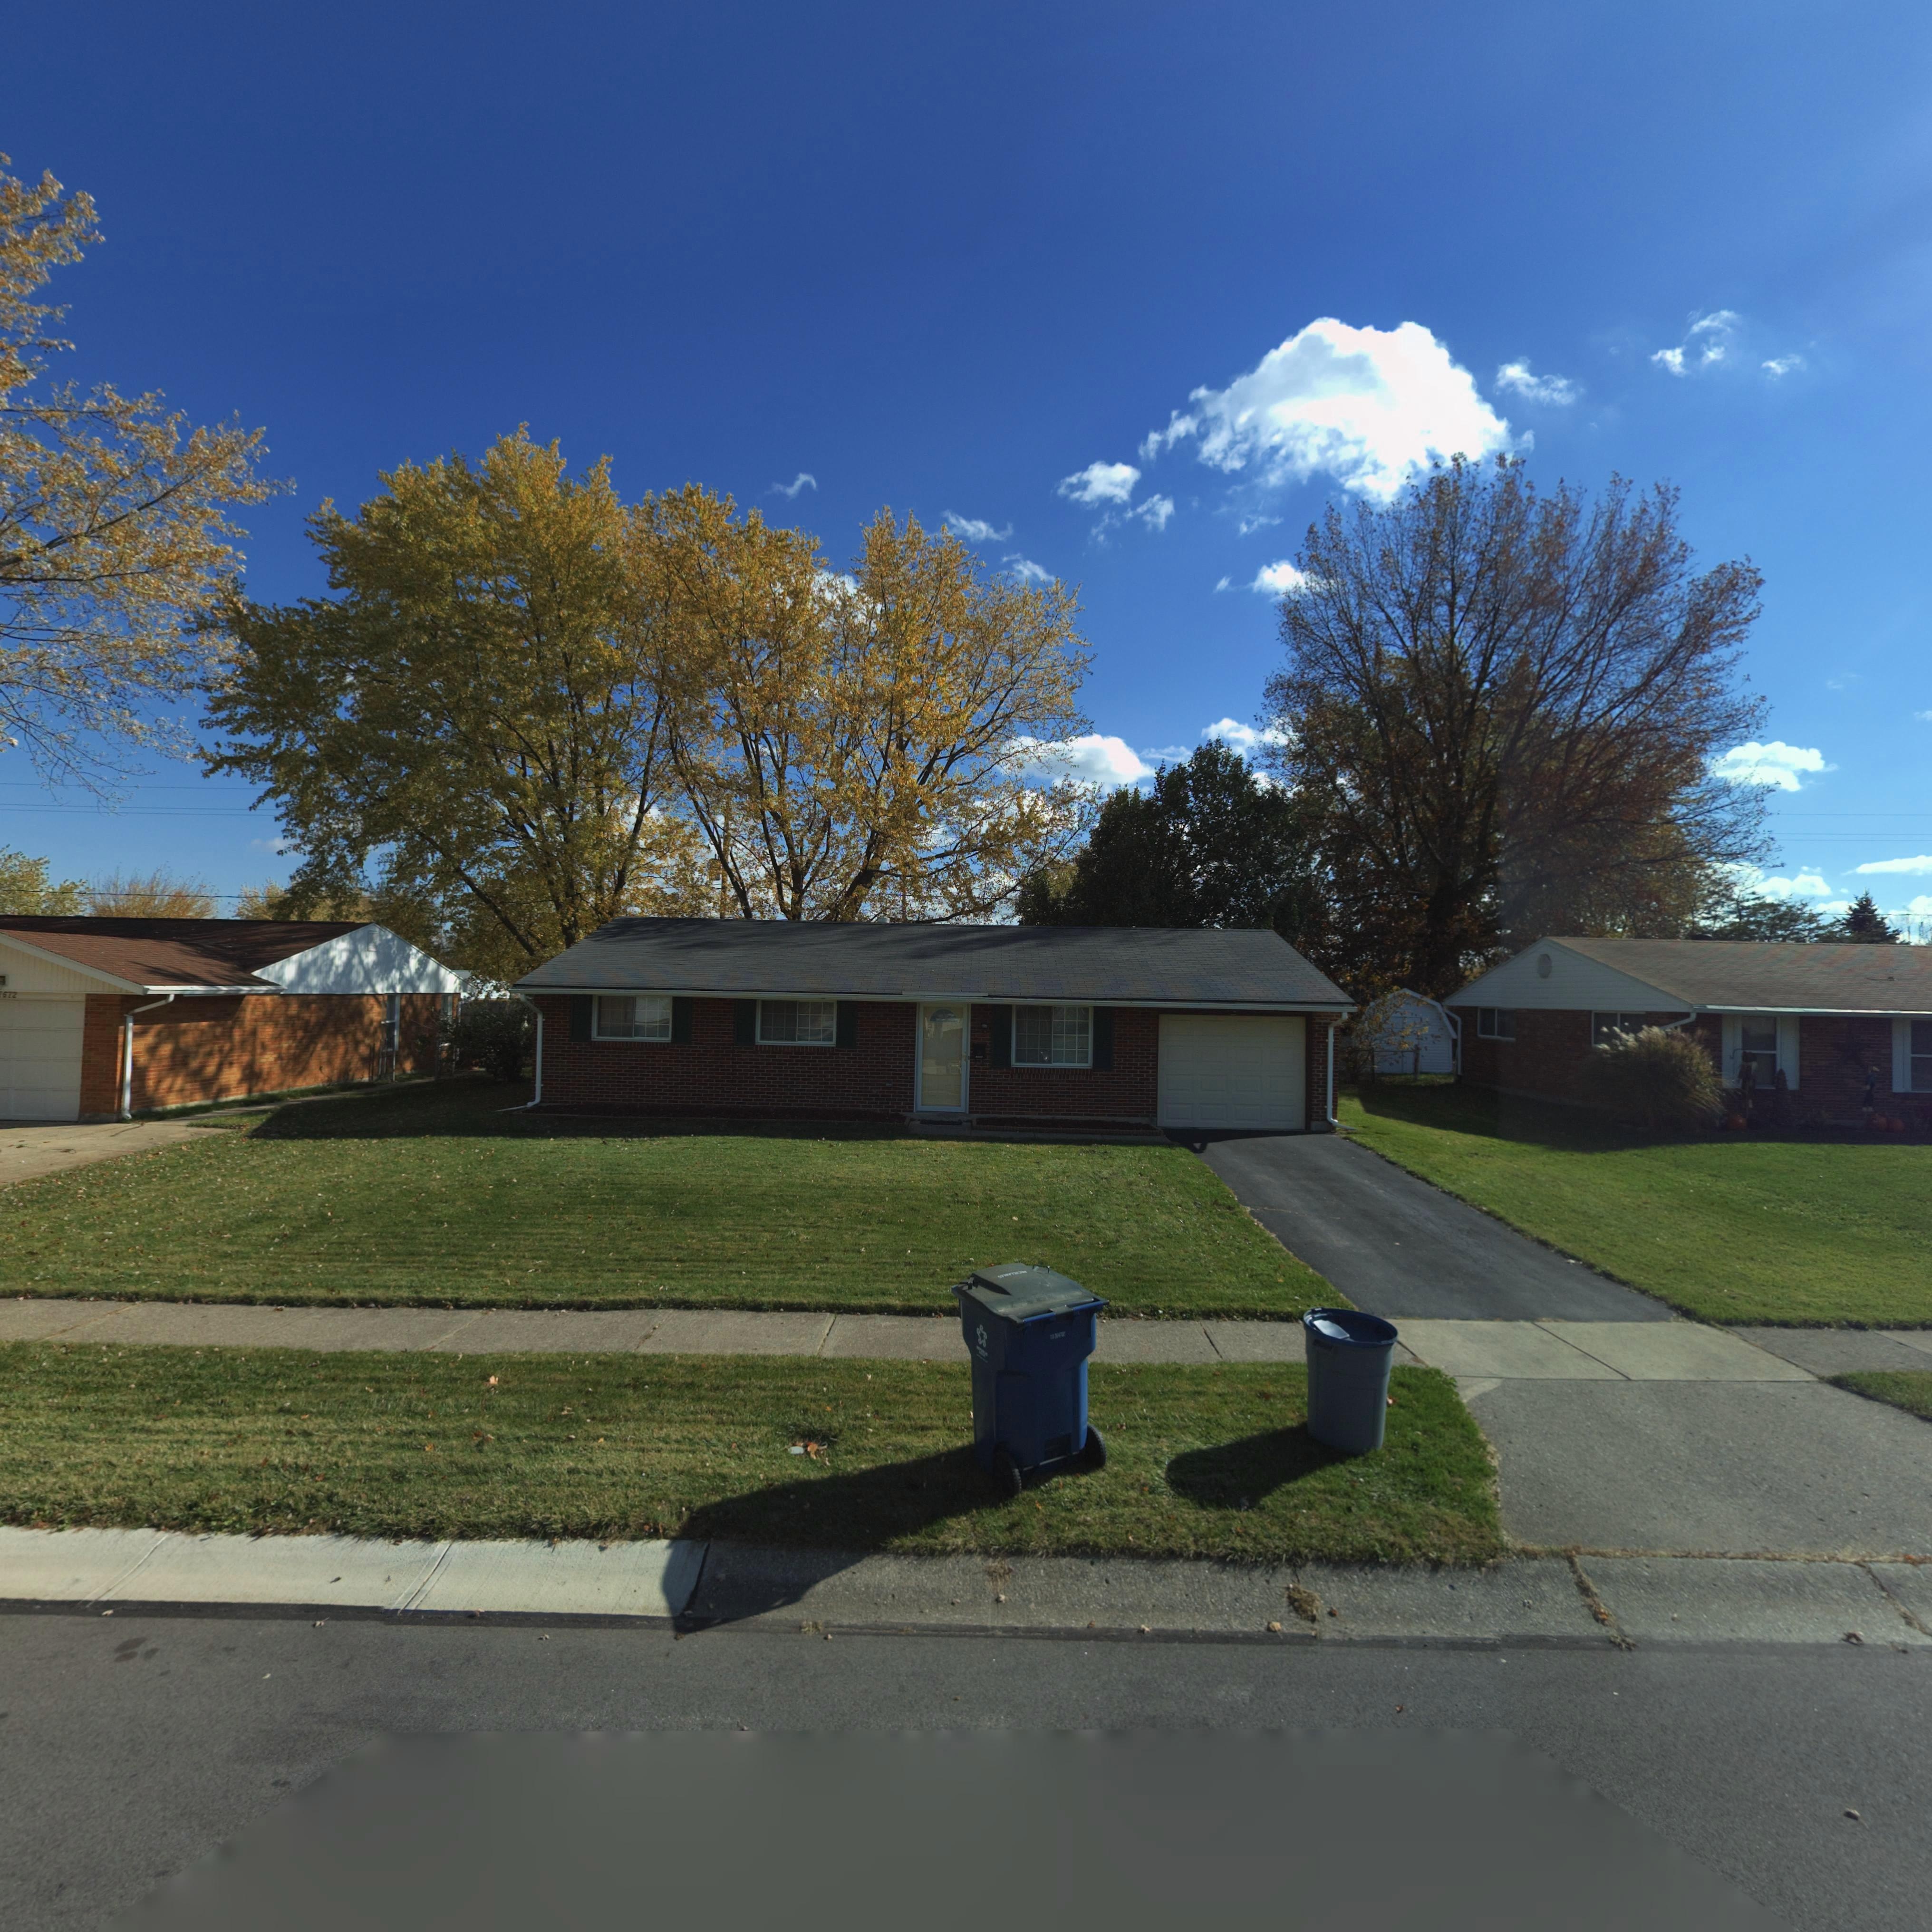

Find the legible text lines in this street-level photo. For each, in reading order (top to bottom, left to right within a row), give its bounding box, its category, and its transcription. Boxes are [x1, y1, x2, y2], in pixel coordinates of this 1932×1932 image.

[1, 990, 19, 999] StreetNumber: 672